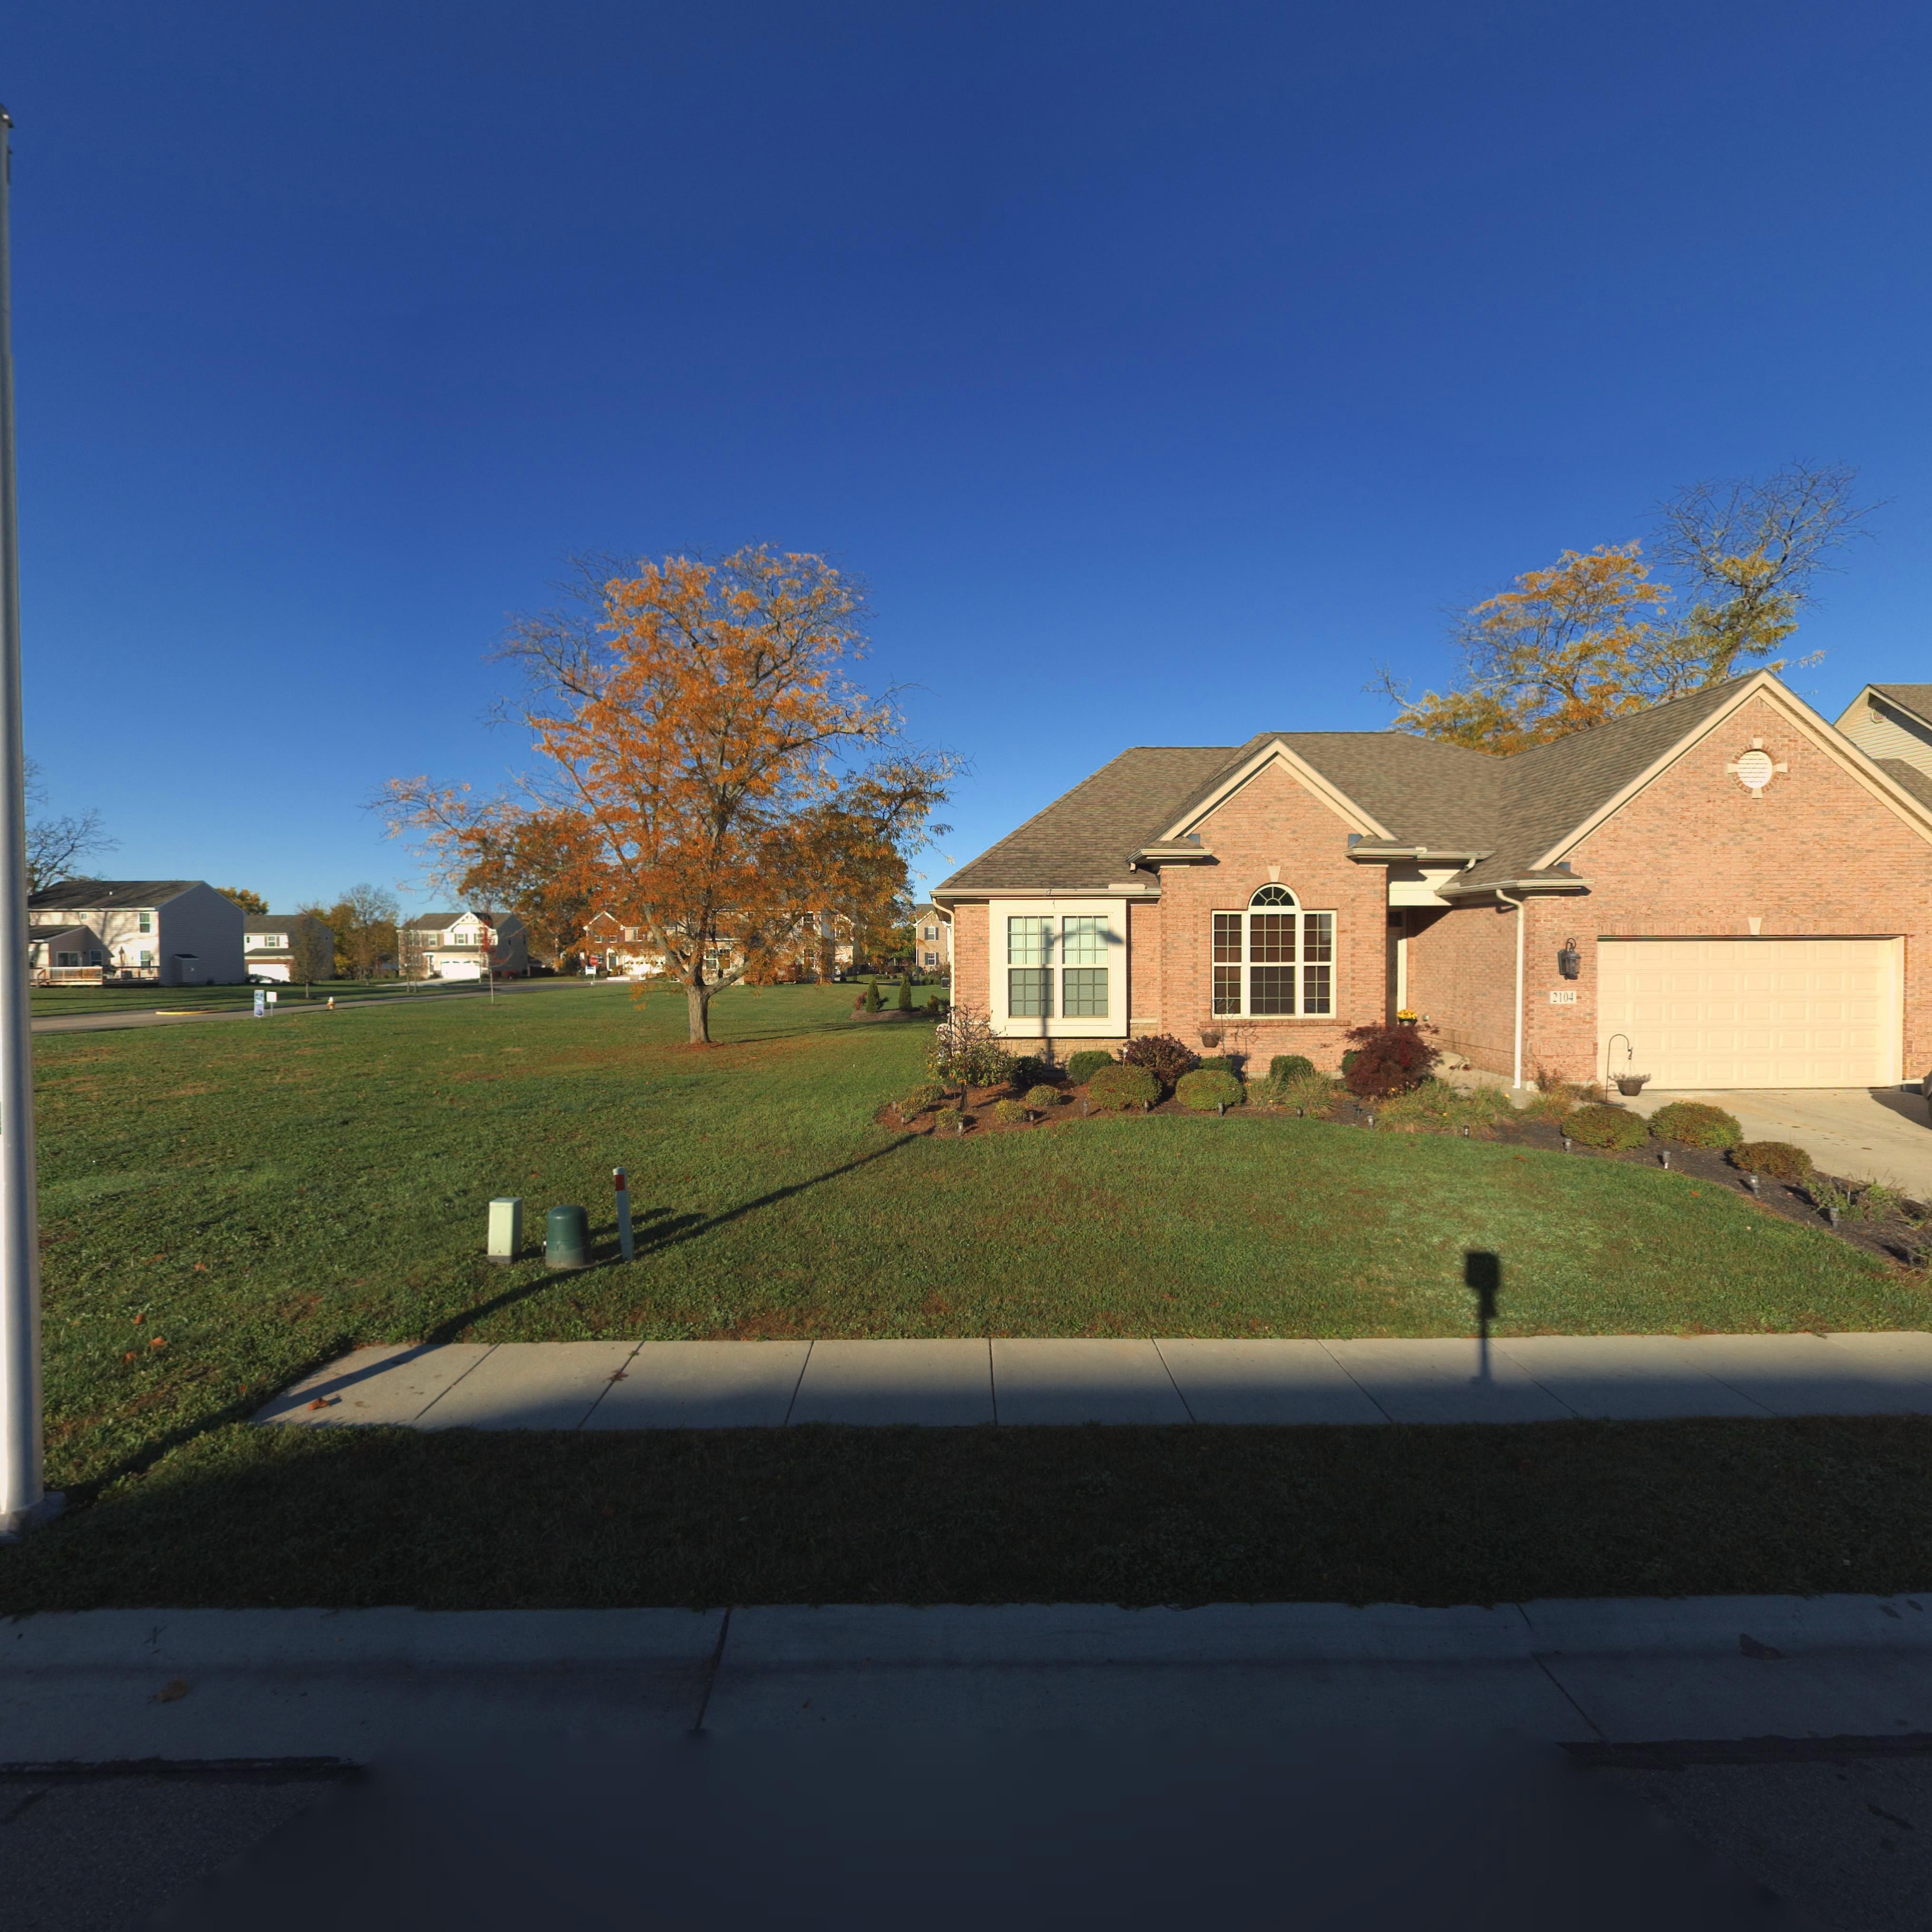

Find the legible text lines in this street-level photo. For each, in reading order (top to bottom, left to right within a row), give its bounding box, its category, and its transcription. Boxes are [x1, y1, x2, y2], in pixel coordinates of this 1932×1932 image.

[1552, 992, 1574, 1003] StreetNumber: 2104